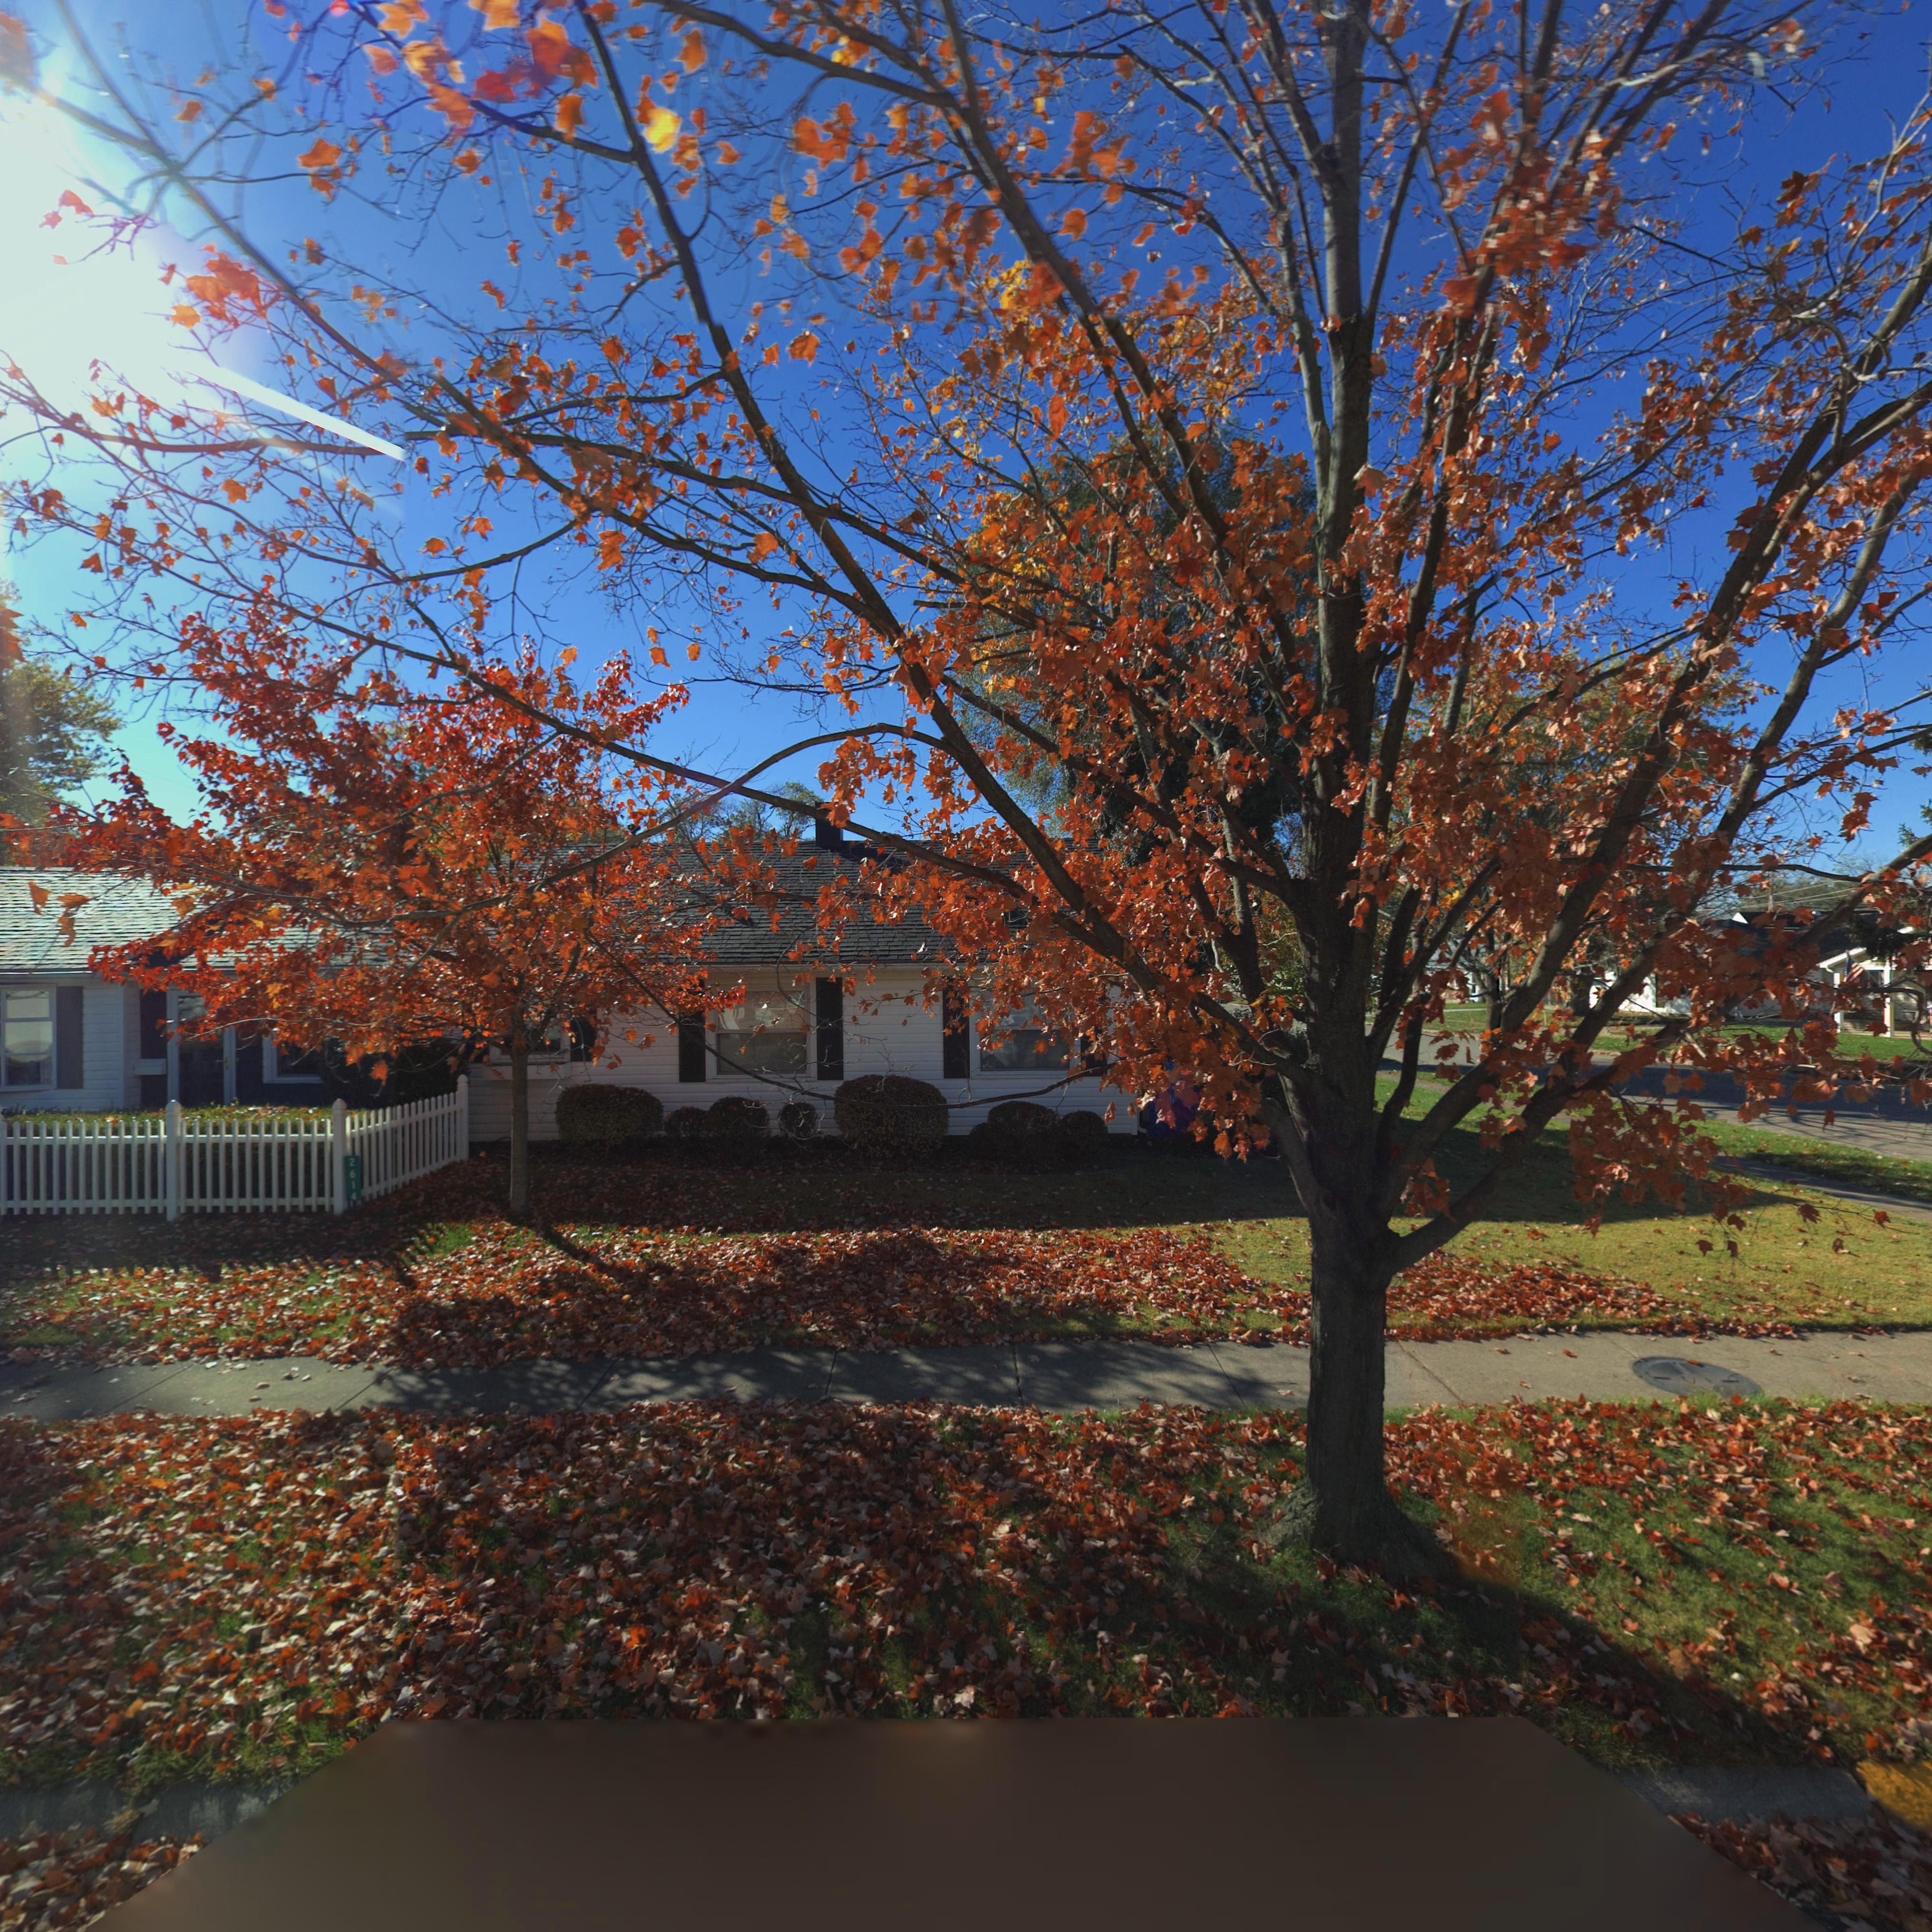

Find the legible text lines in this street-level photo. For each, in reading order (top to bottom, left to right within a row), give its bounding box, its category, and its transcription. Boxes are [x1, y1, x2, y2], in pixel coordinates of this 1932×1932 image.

[348, 1157, 358, 1202] StreetNumber: 2614